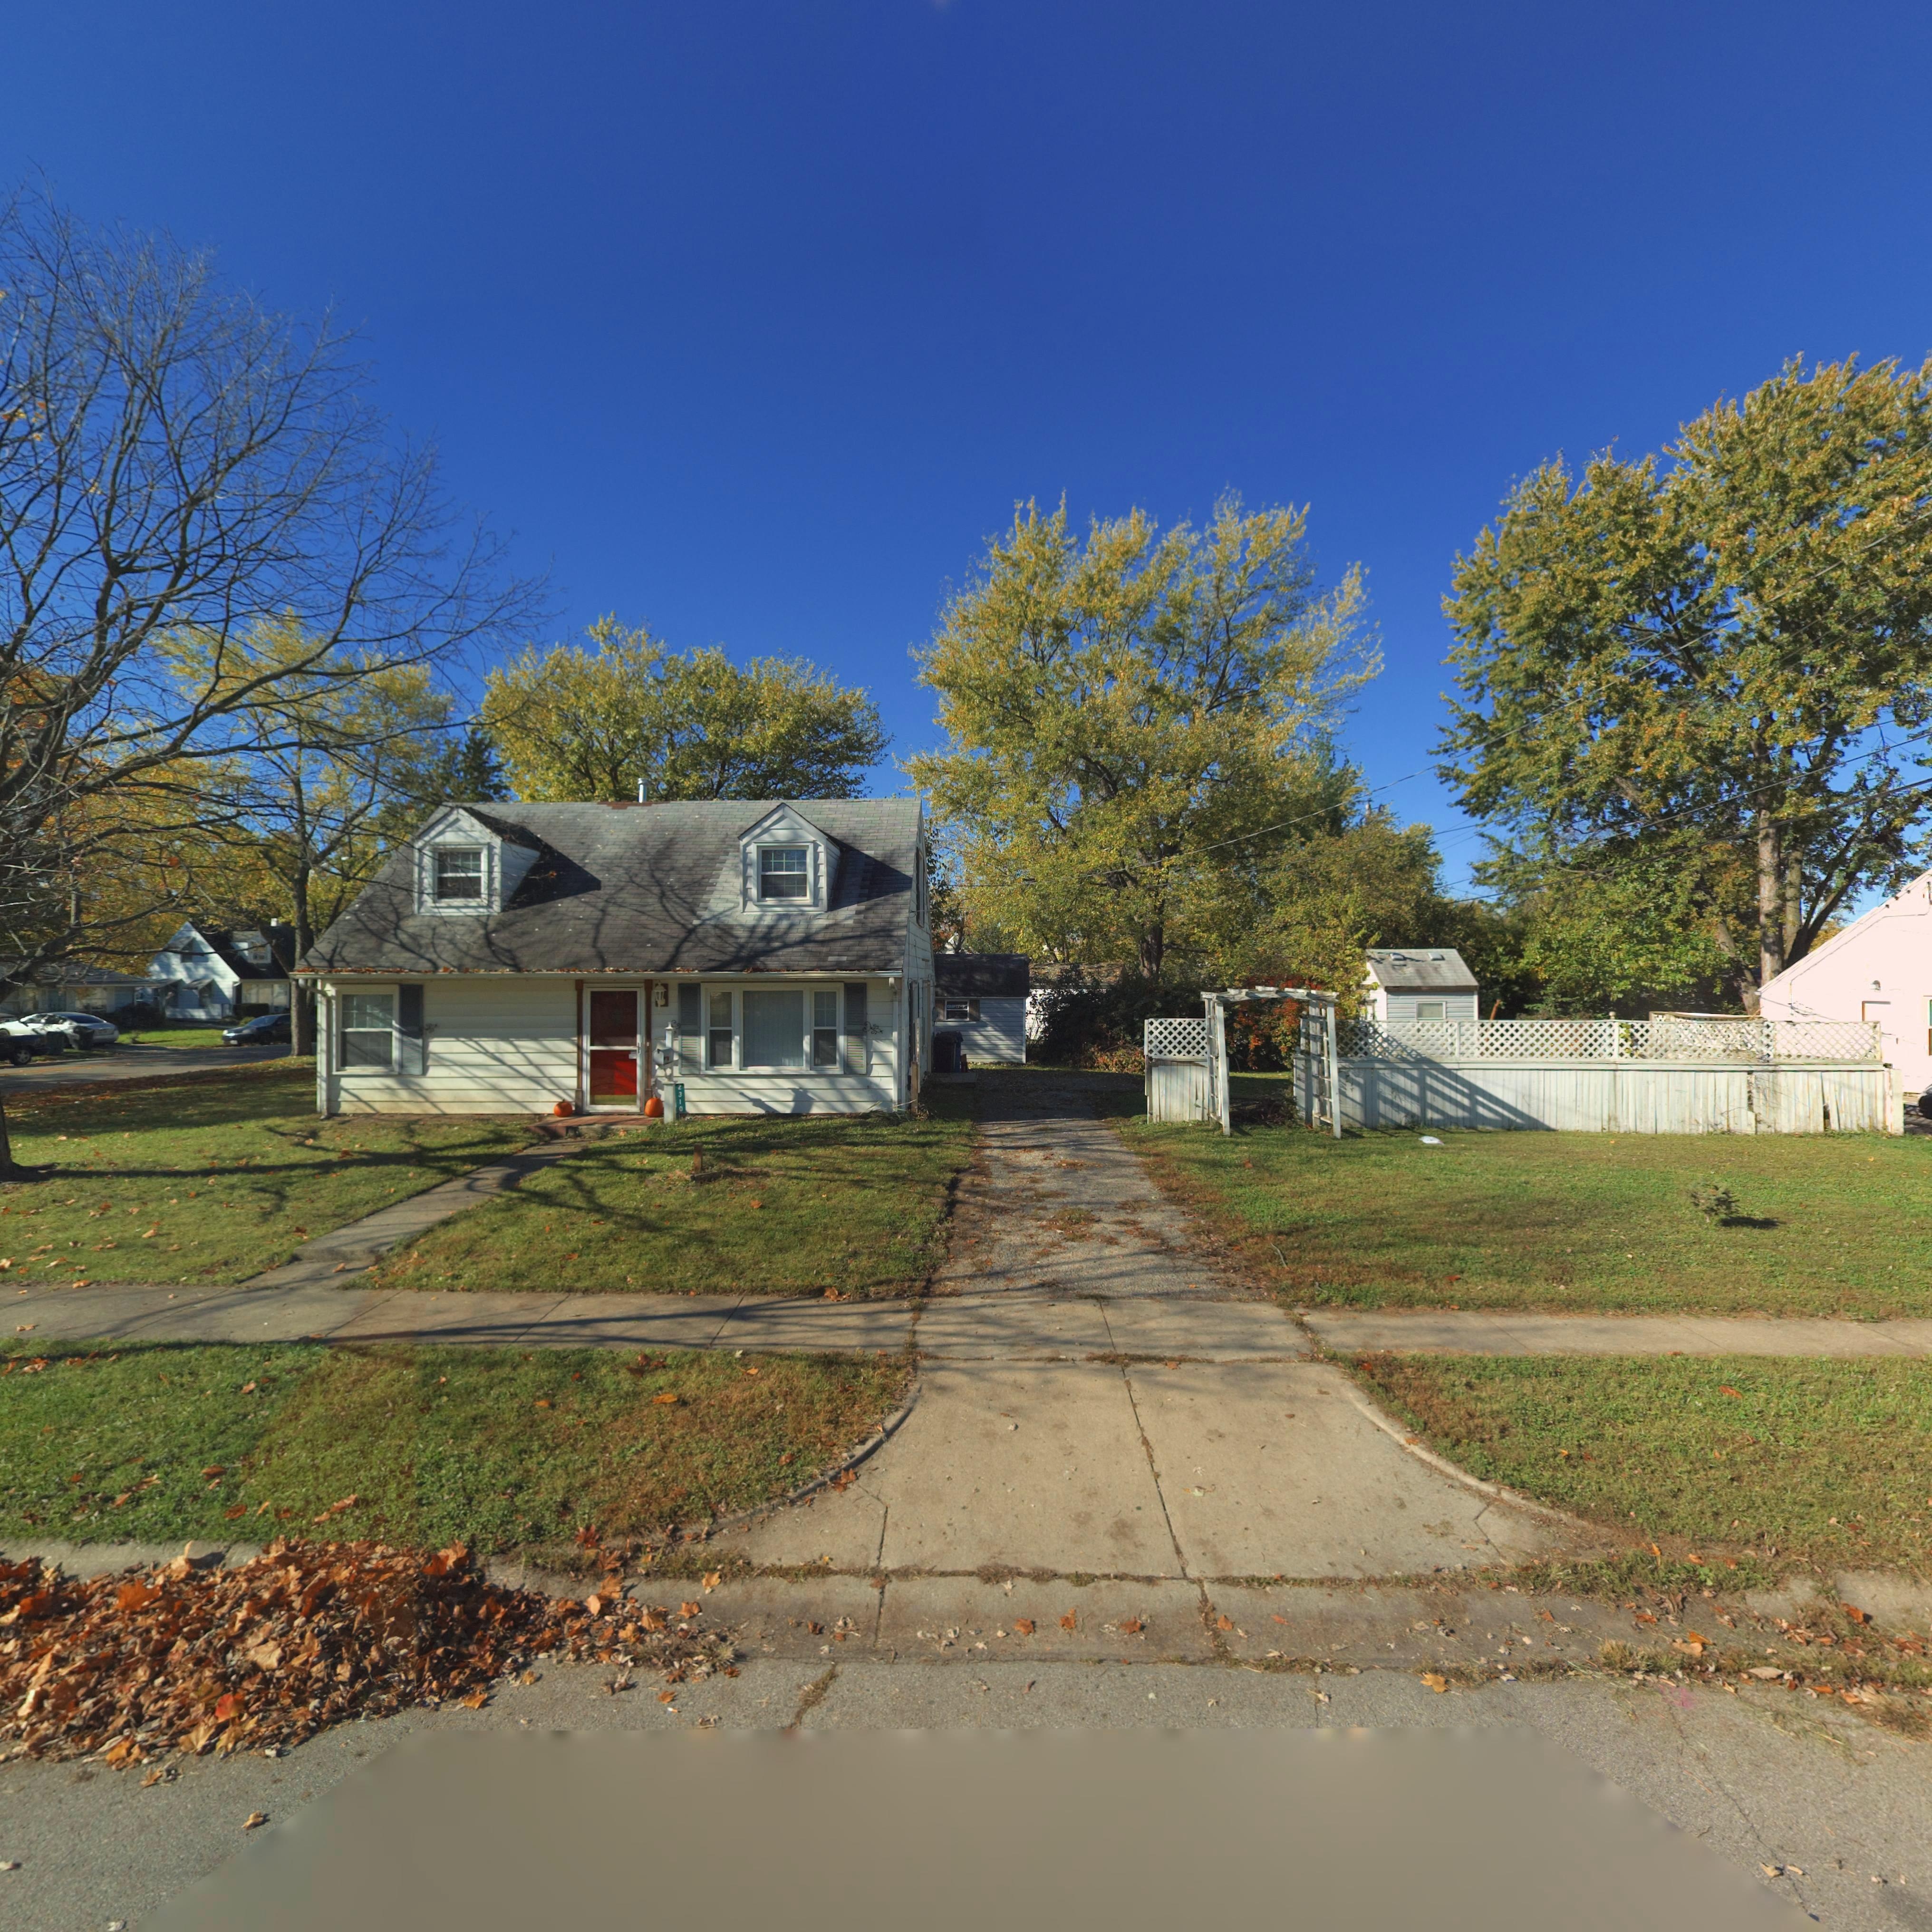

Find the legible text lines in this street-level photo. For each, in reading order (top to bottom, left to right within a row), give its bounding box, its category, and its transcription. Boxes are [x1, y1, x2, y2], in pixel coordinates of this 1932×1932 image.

[677, 1083, 684, 1113] StreetNumber: 2310